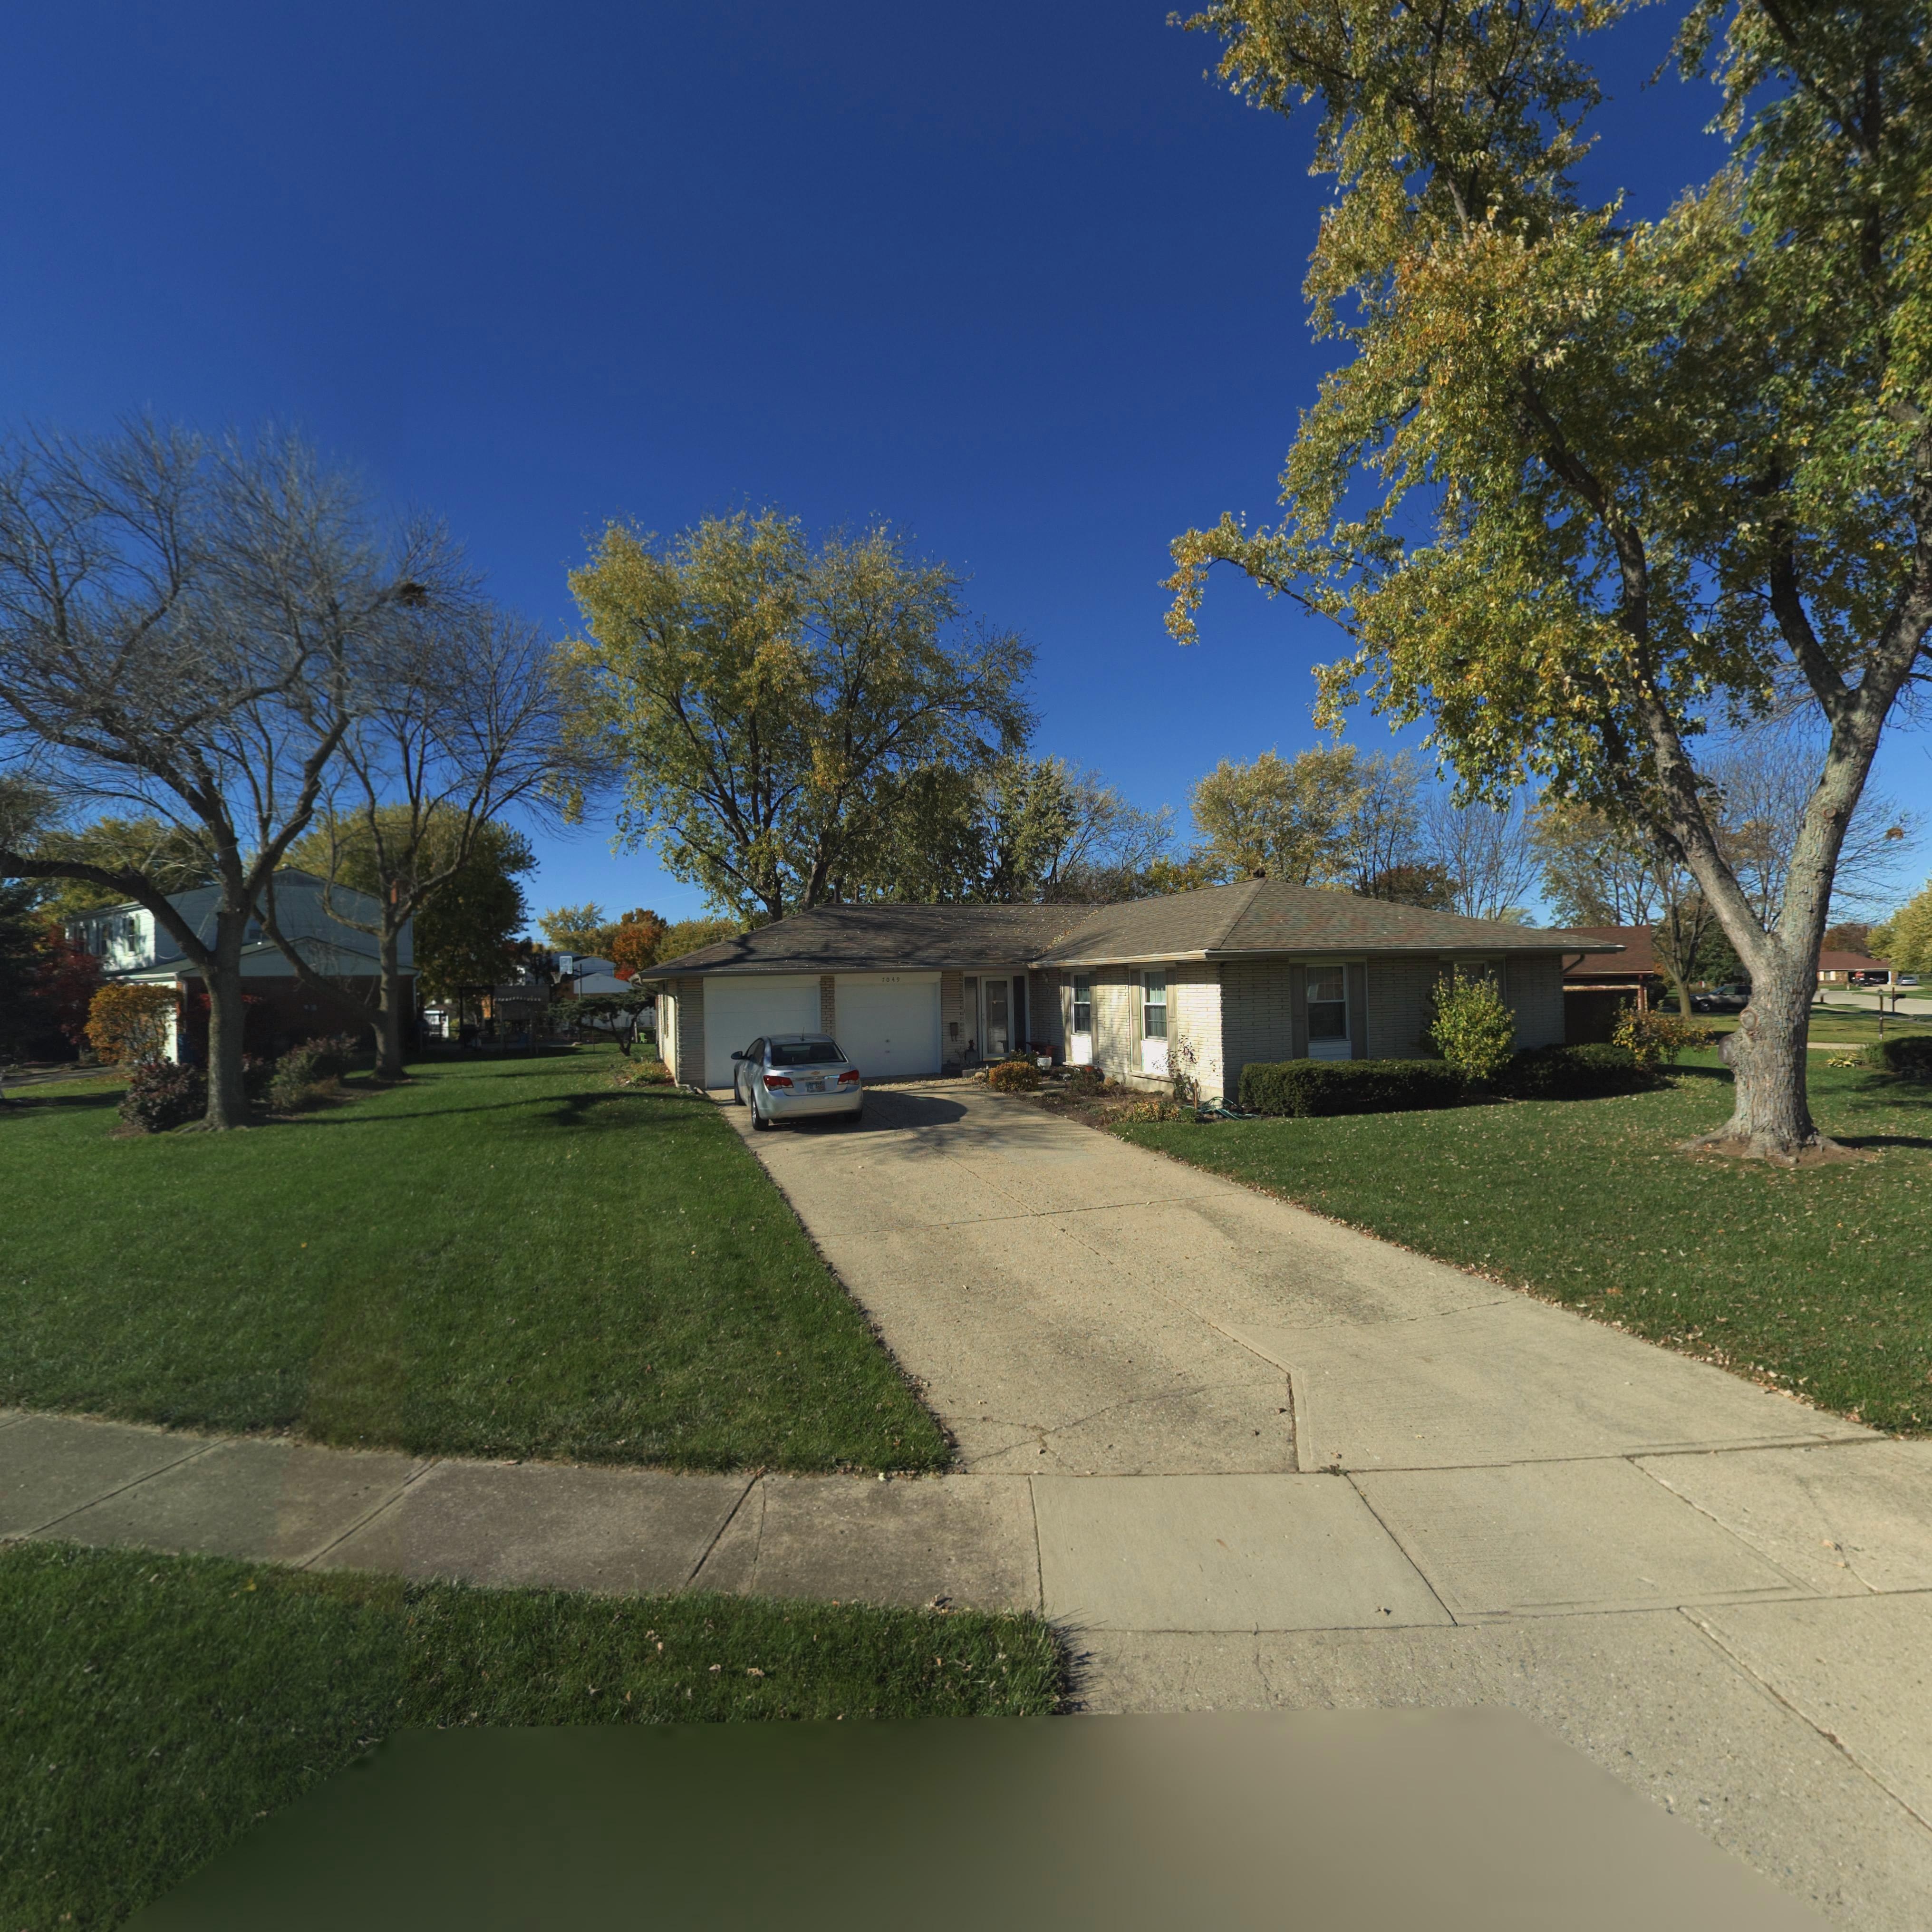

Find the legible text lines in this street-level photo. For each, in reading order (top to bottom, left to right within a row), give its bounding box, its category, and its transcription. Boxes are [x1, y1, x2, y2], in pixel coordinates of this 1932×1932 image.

[881, 976, 901, 984] StreetNumber: 7049